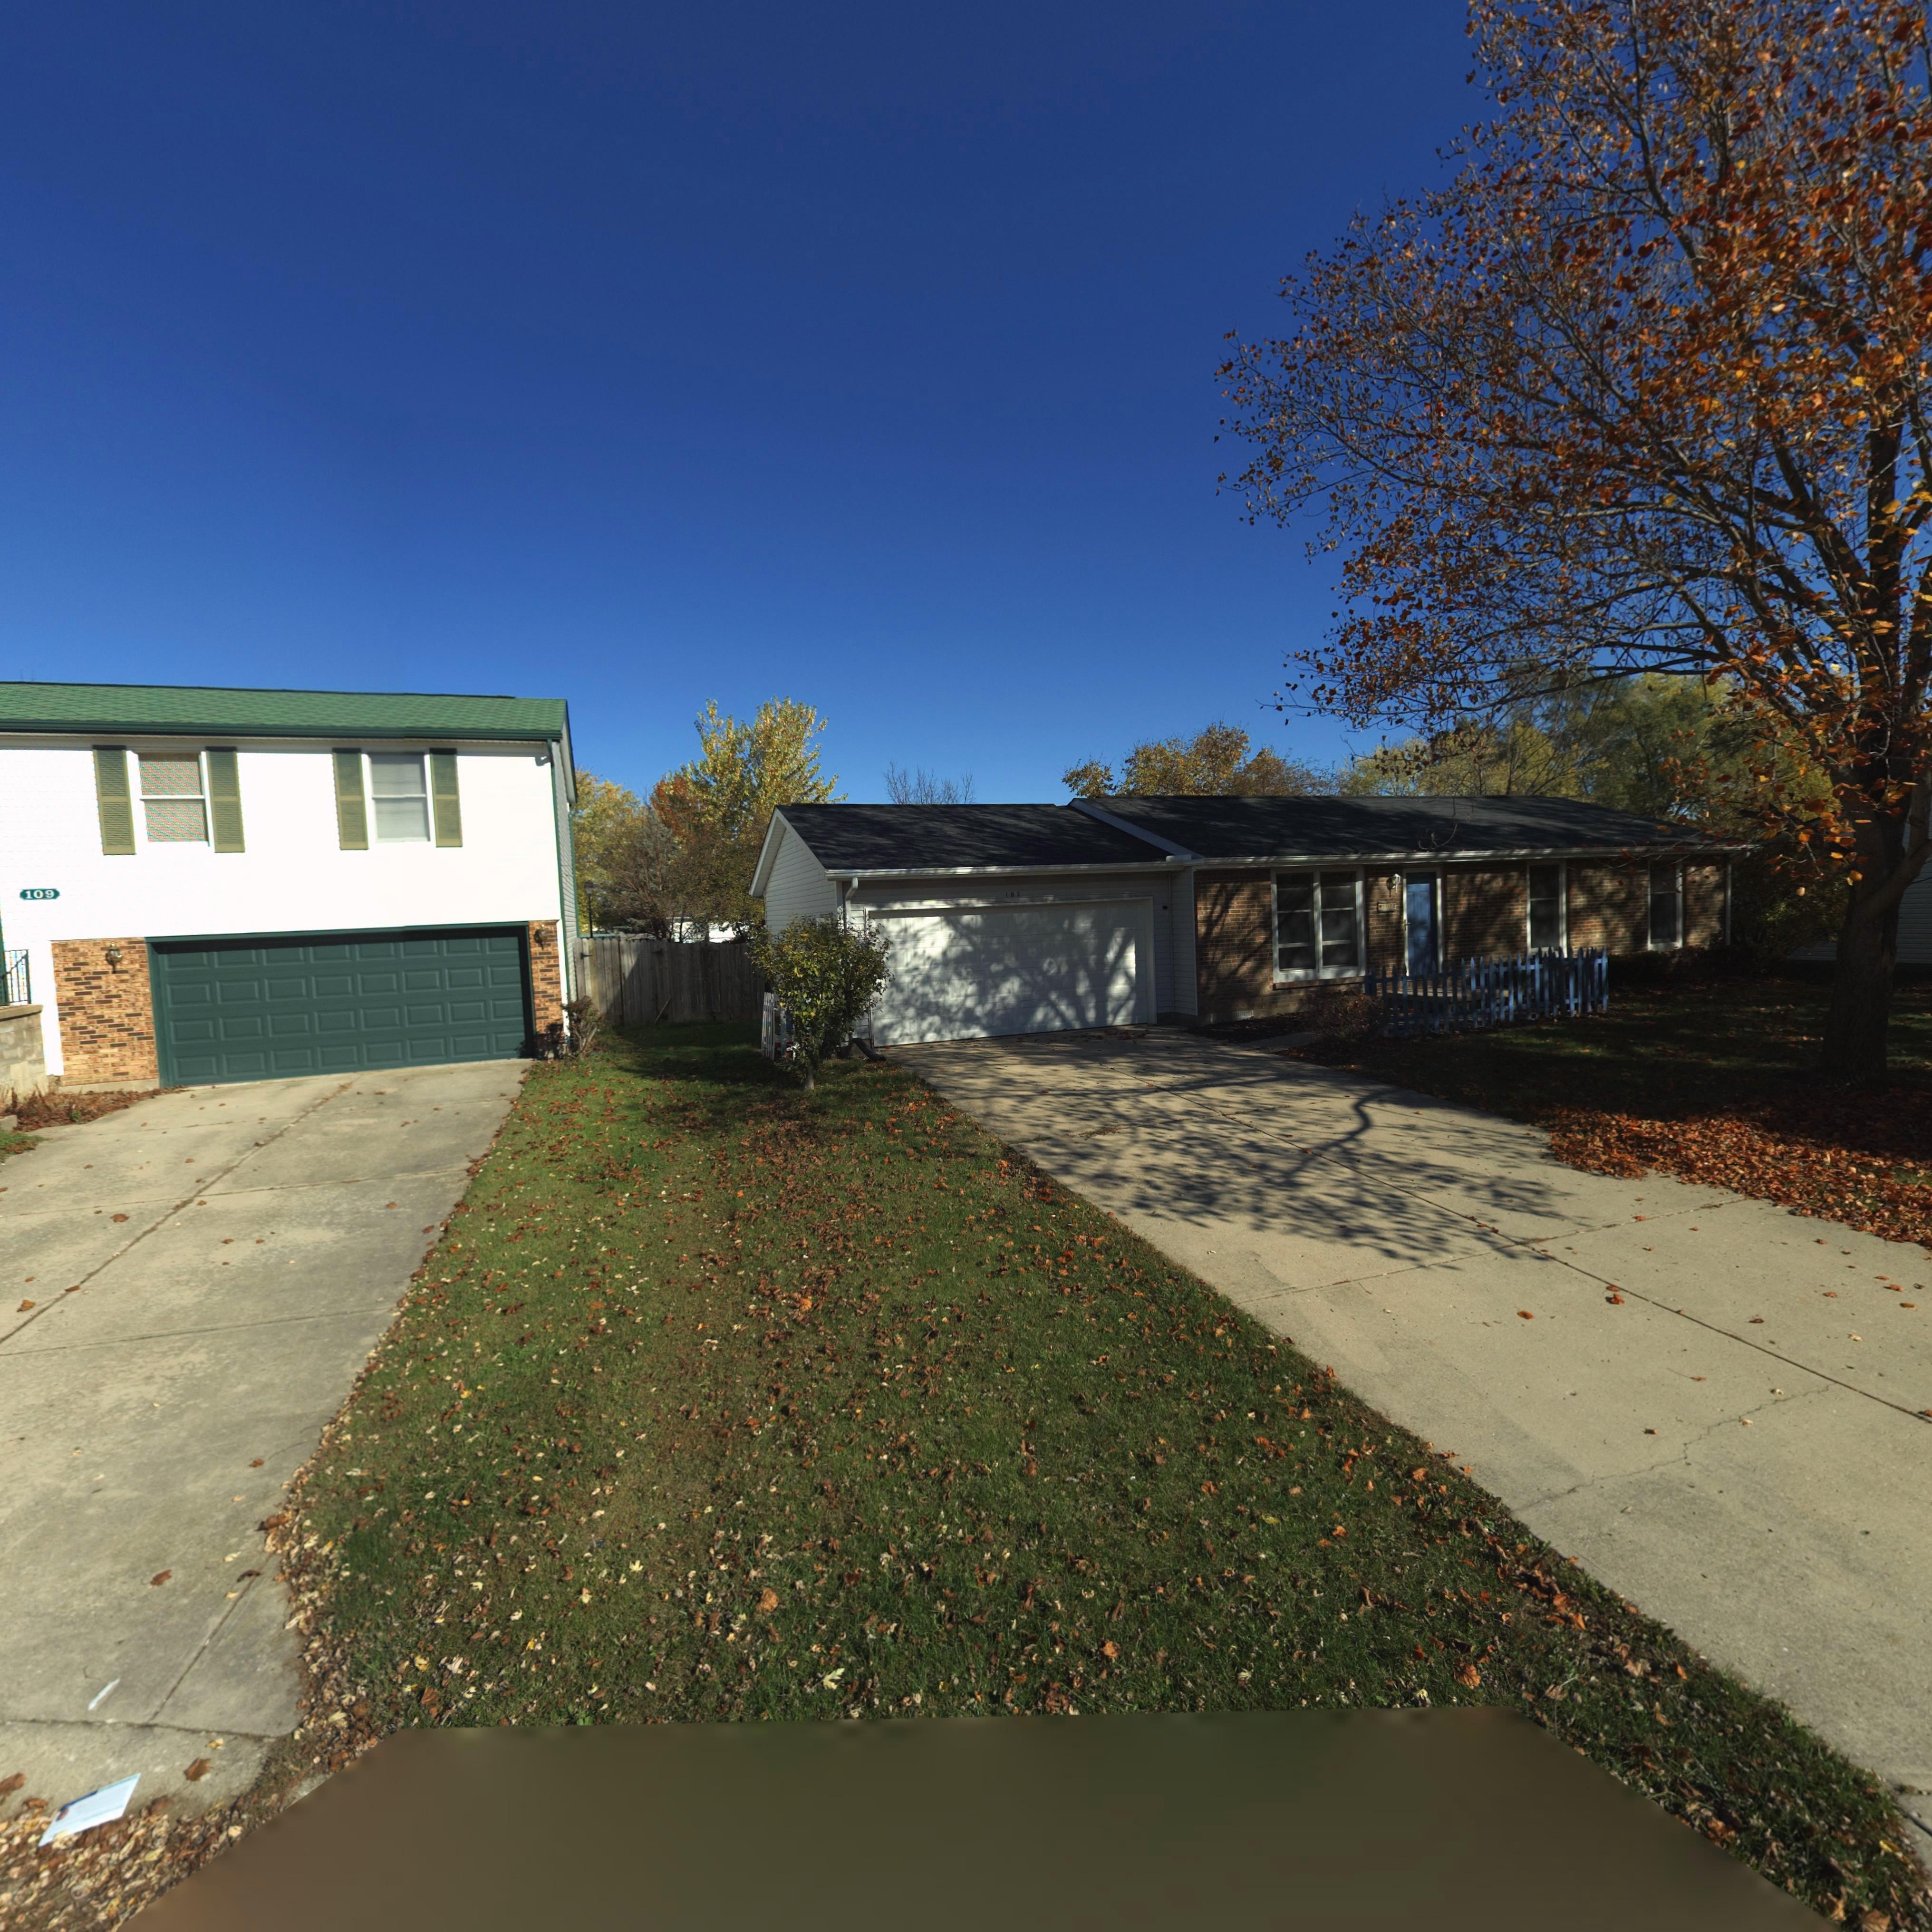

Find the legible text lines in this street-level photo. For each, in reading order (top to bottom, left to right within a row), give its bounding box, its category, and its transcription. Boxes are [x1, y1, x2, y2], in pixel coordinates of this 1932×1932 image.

[24, 889, 56, 900] StreetNumber: 109
[1005, 890, 1021, 898] StreetNumber: 107